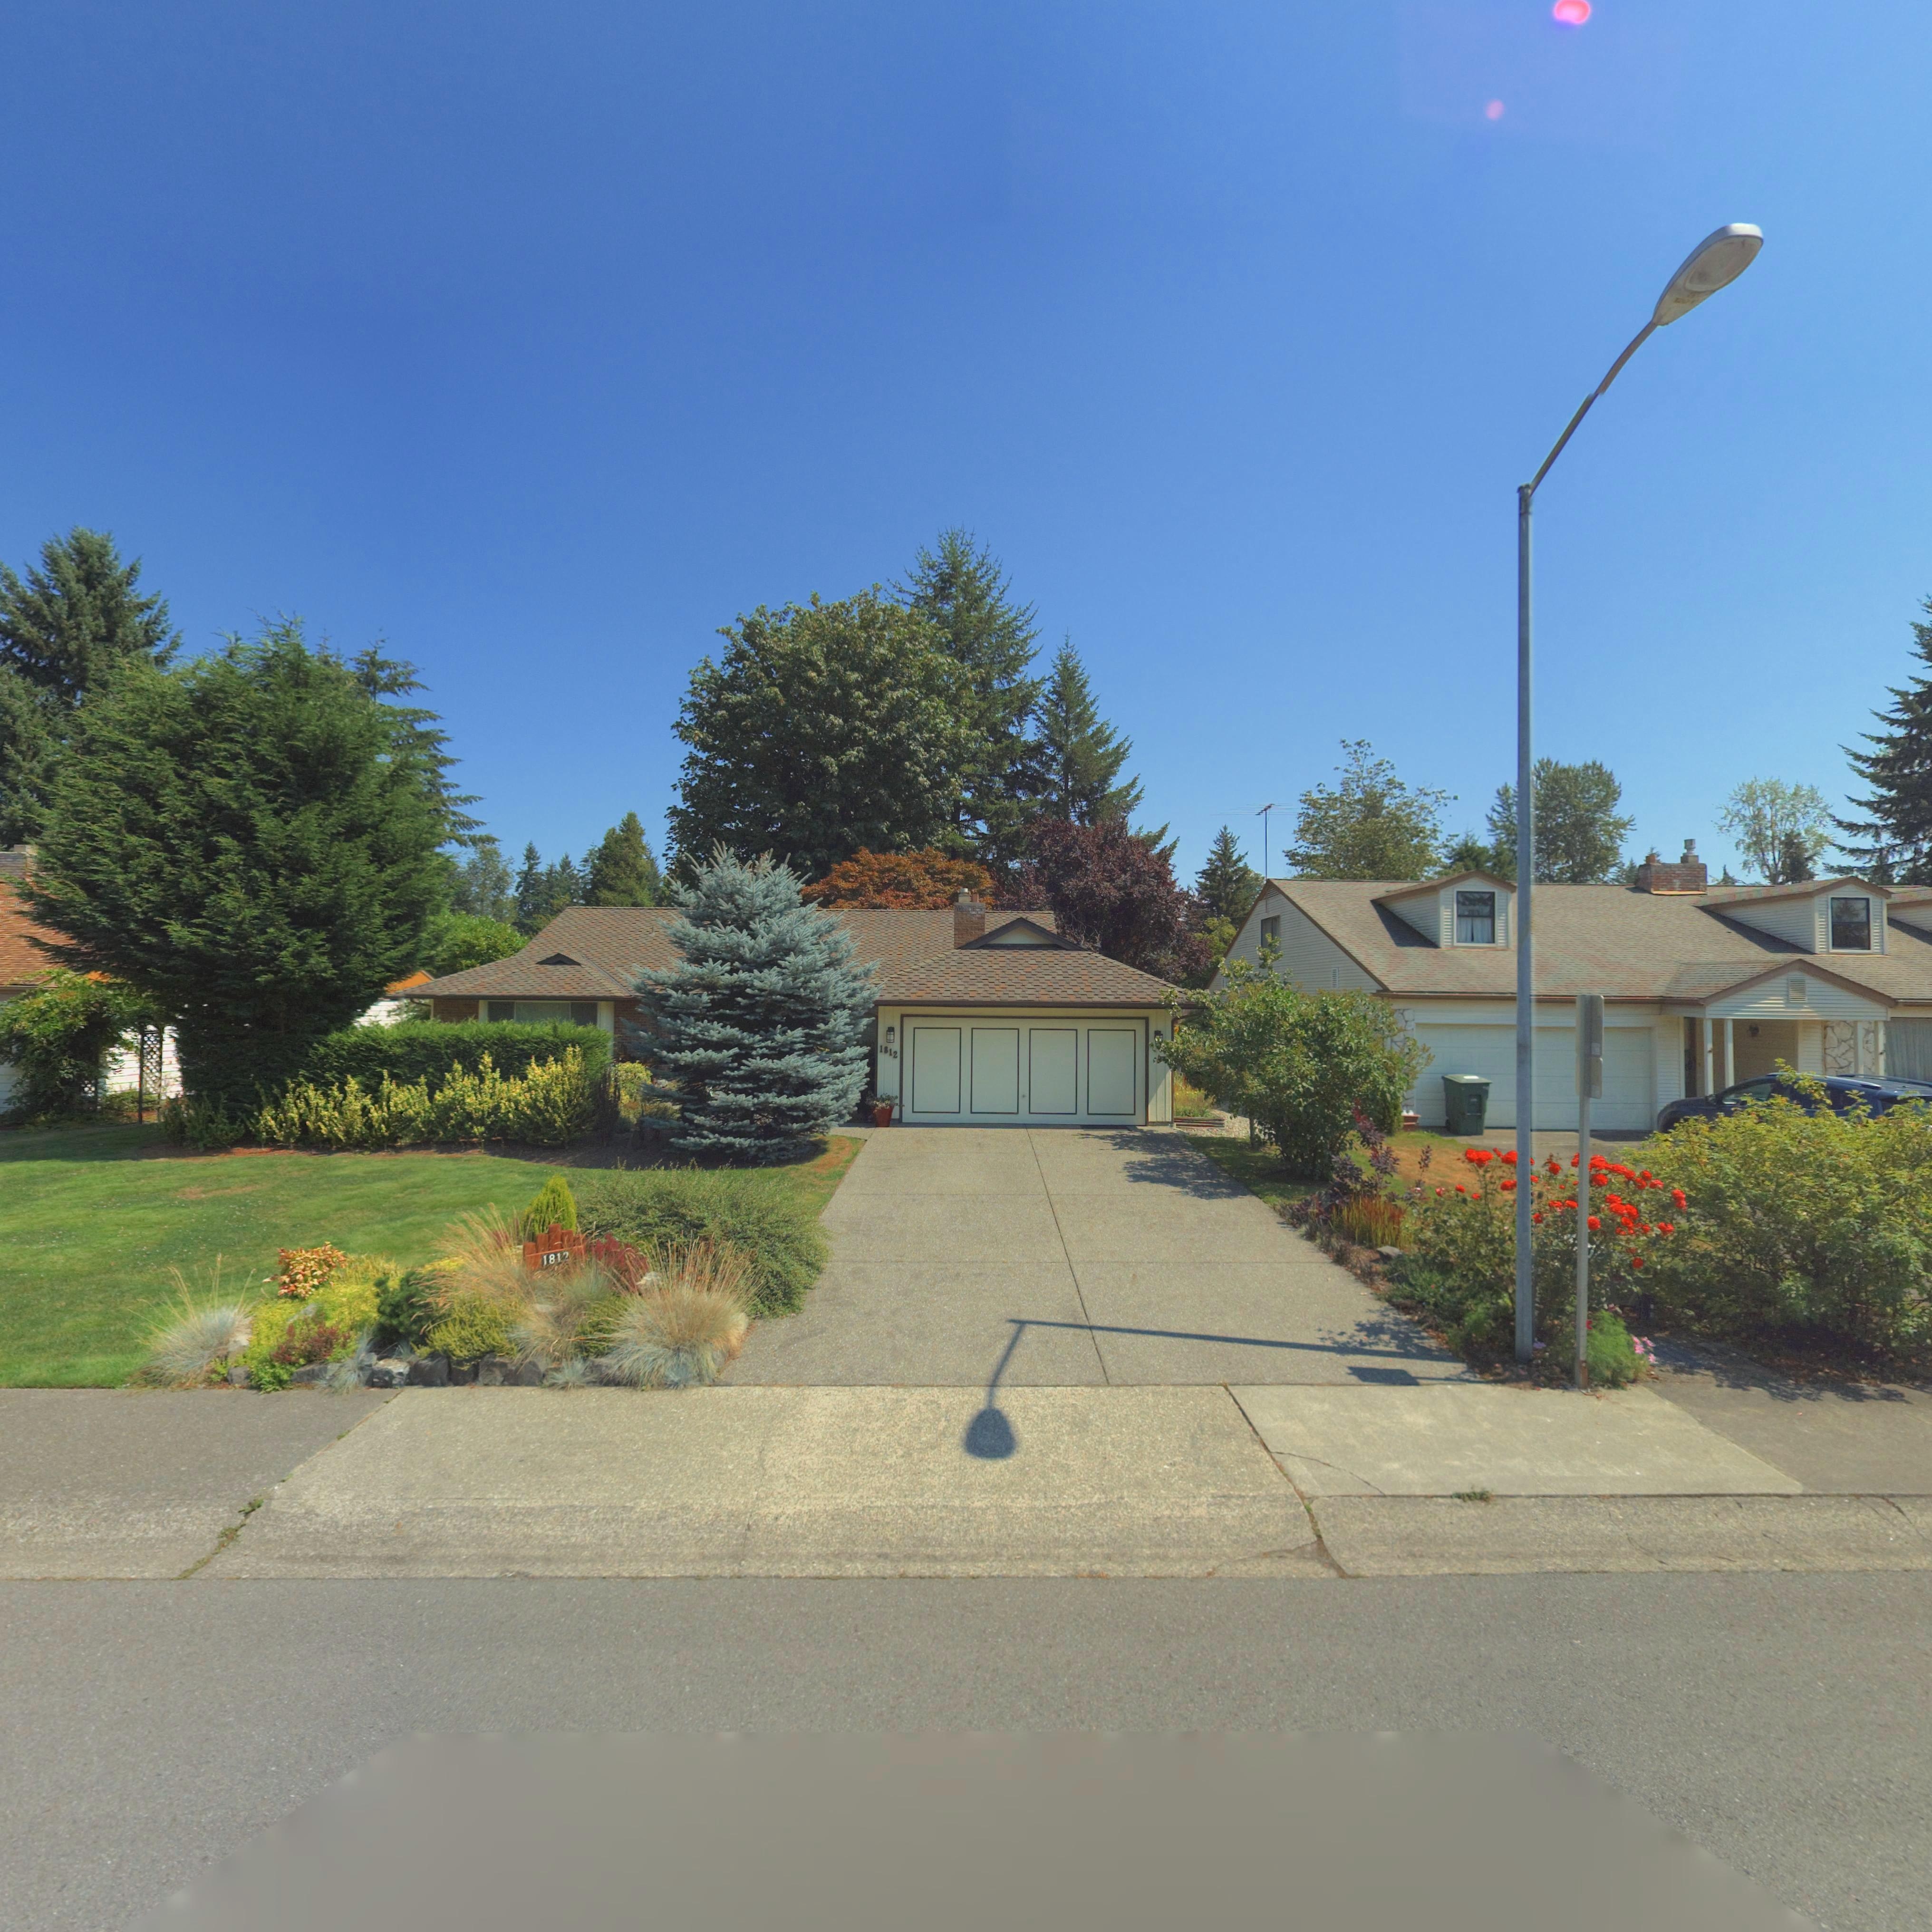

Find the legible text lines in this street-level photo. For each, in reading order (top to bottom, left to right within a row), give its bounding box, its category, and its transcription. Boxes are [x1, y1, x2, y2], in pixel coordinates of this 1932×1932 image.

[879, 1045, 898, 1058] StreetNumber: 1812